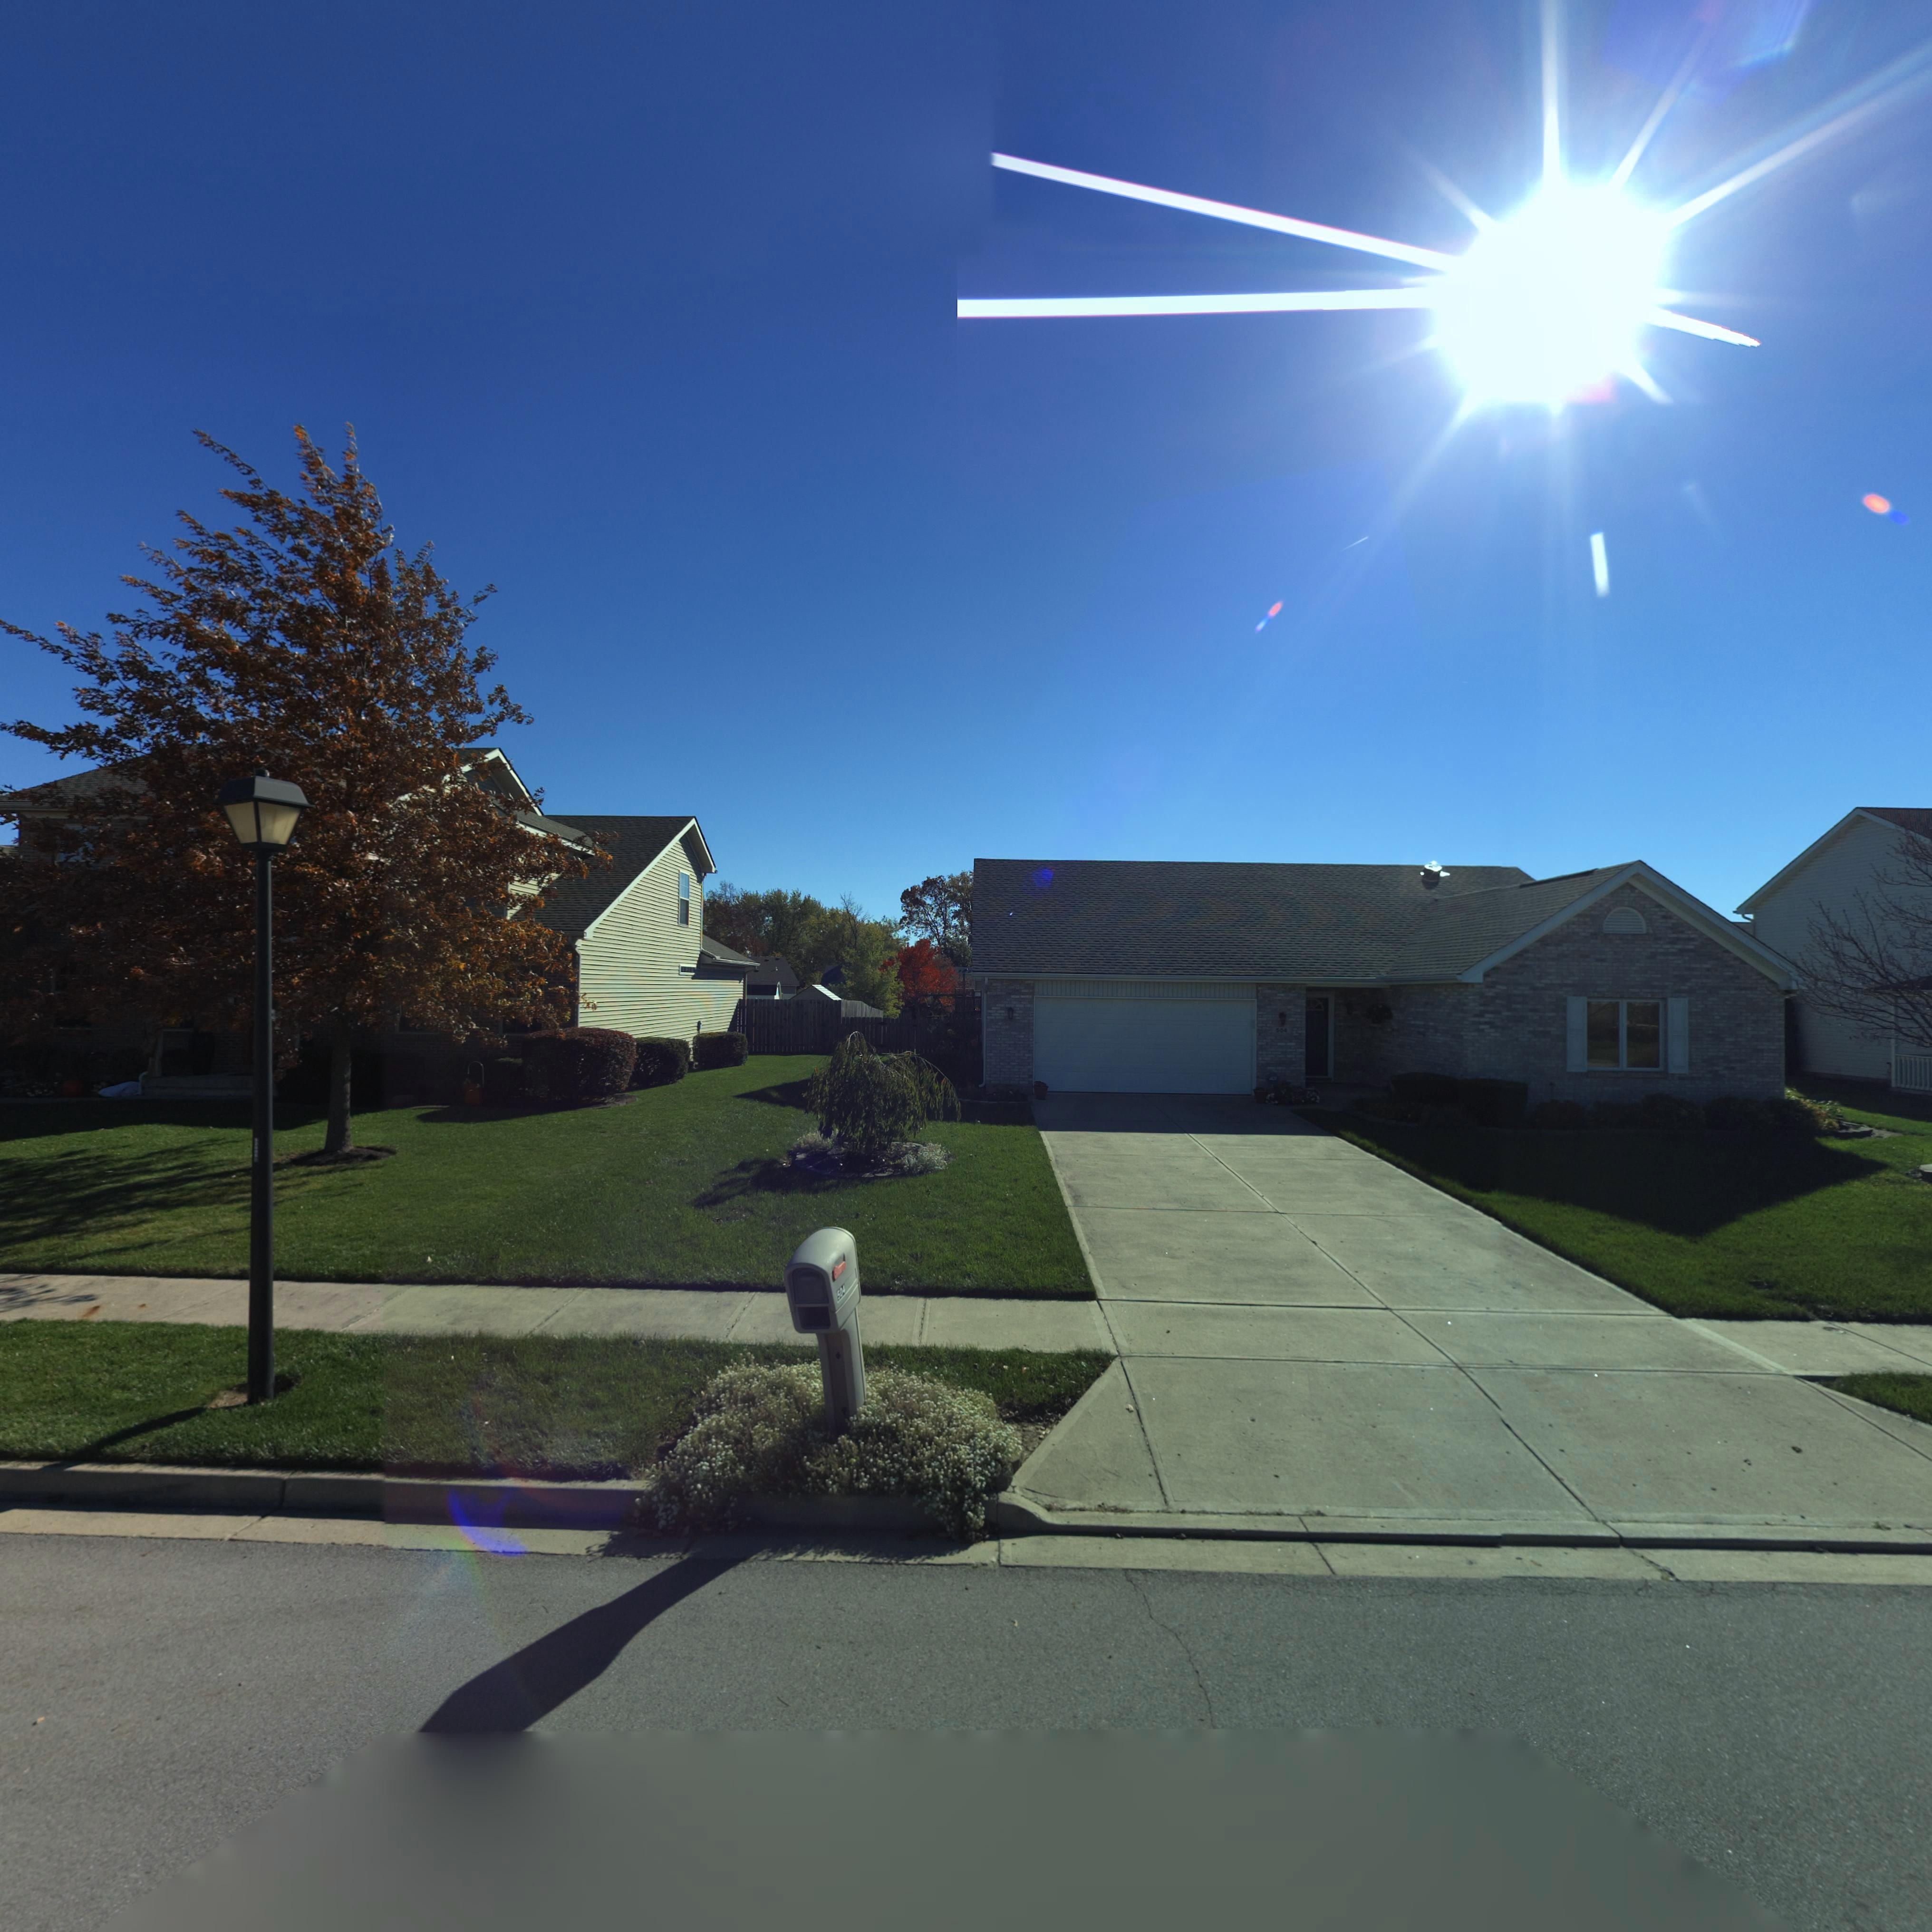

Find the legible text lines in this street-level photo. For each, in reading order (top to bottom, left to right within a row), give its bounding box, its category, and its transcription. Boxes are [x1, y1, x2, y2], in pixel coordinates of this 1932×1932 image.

[1275, 1027, 1288, 1034] StreetNumber: 504
[836, 1283, 846, 1301] StreetNumber: 504